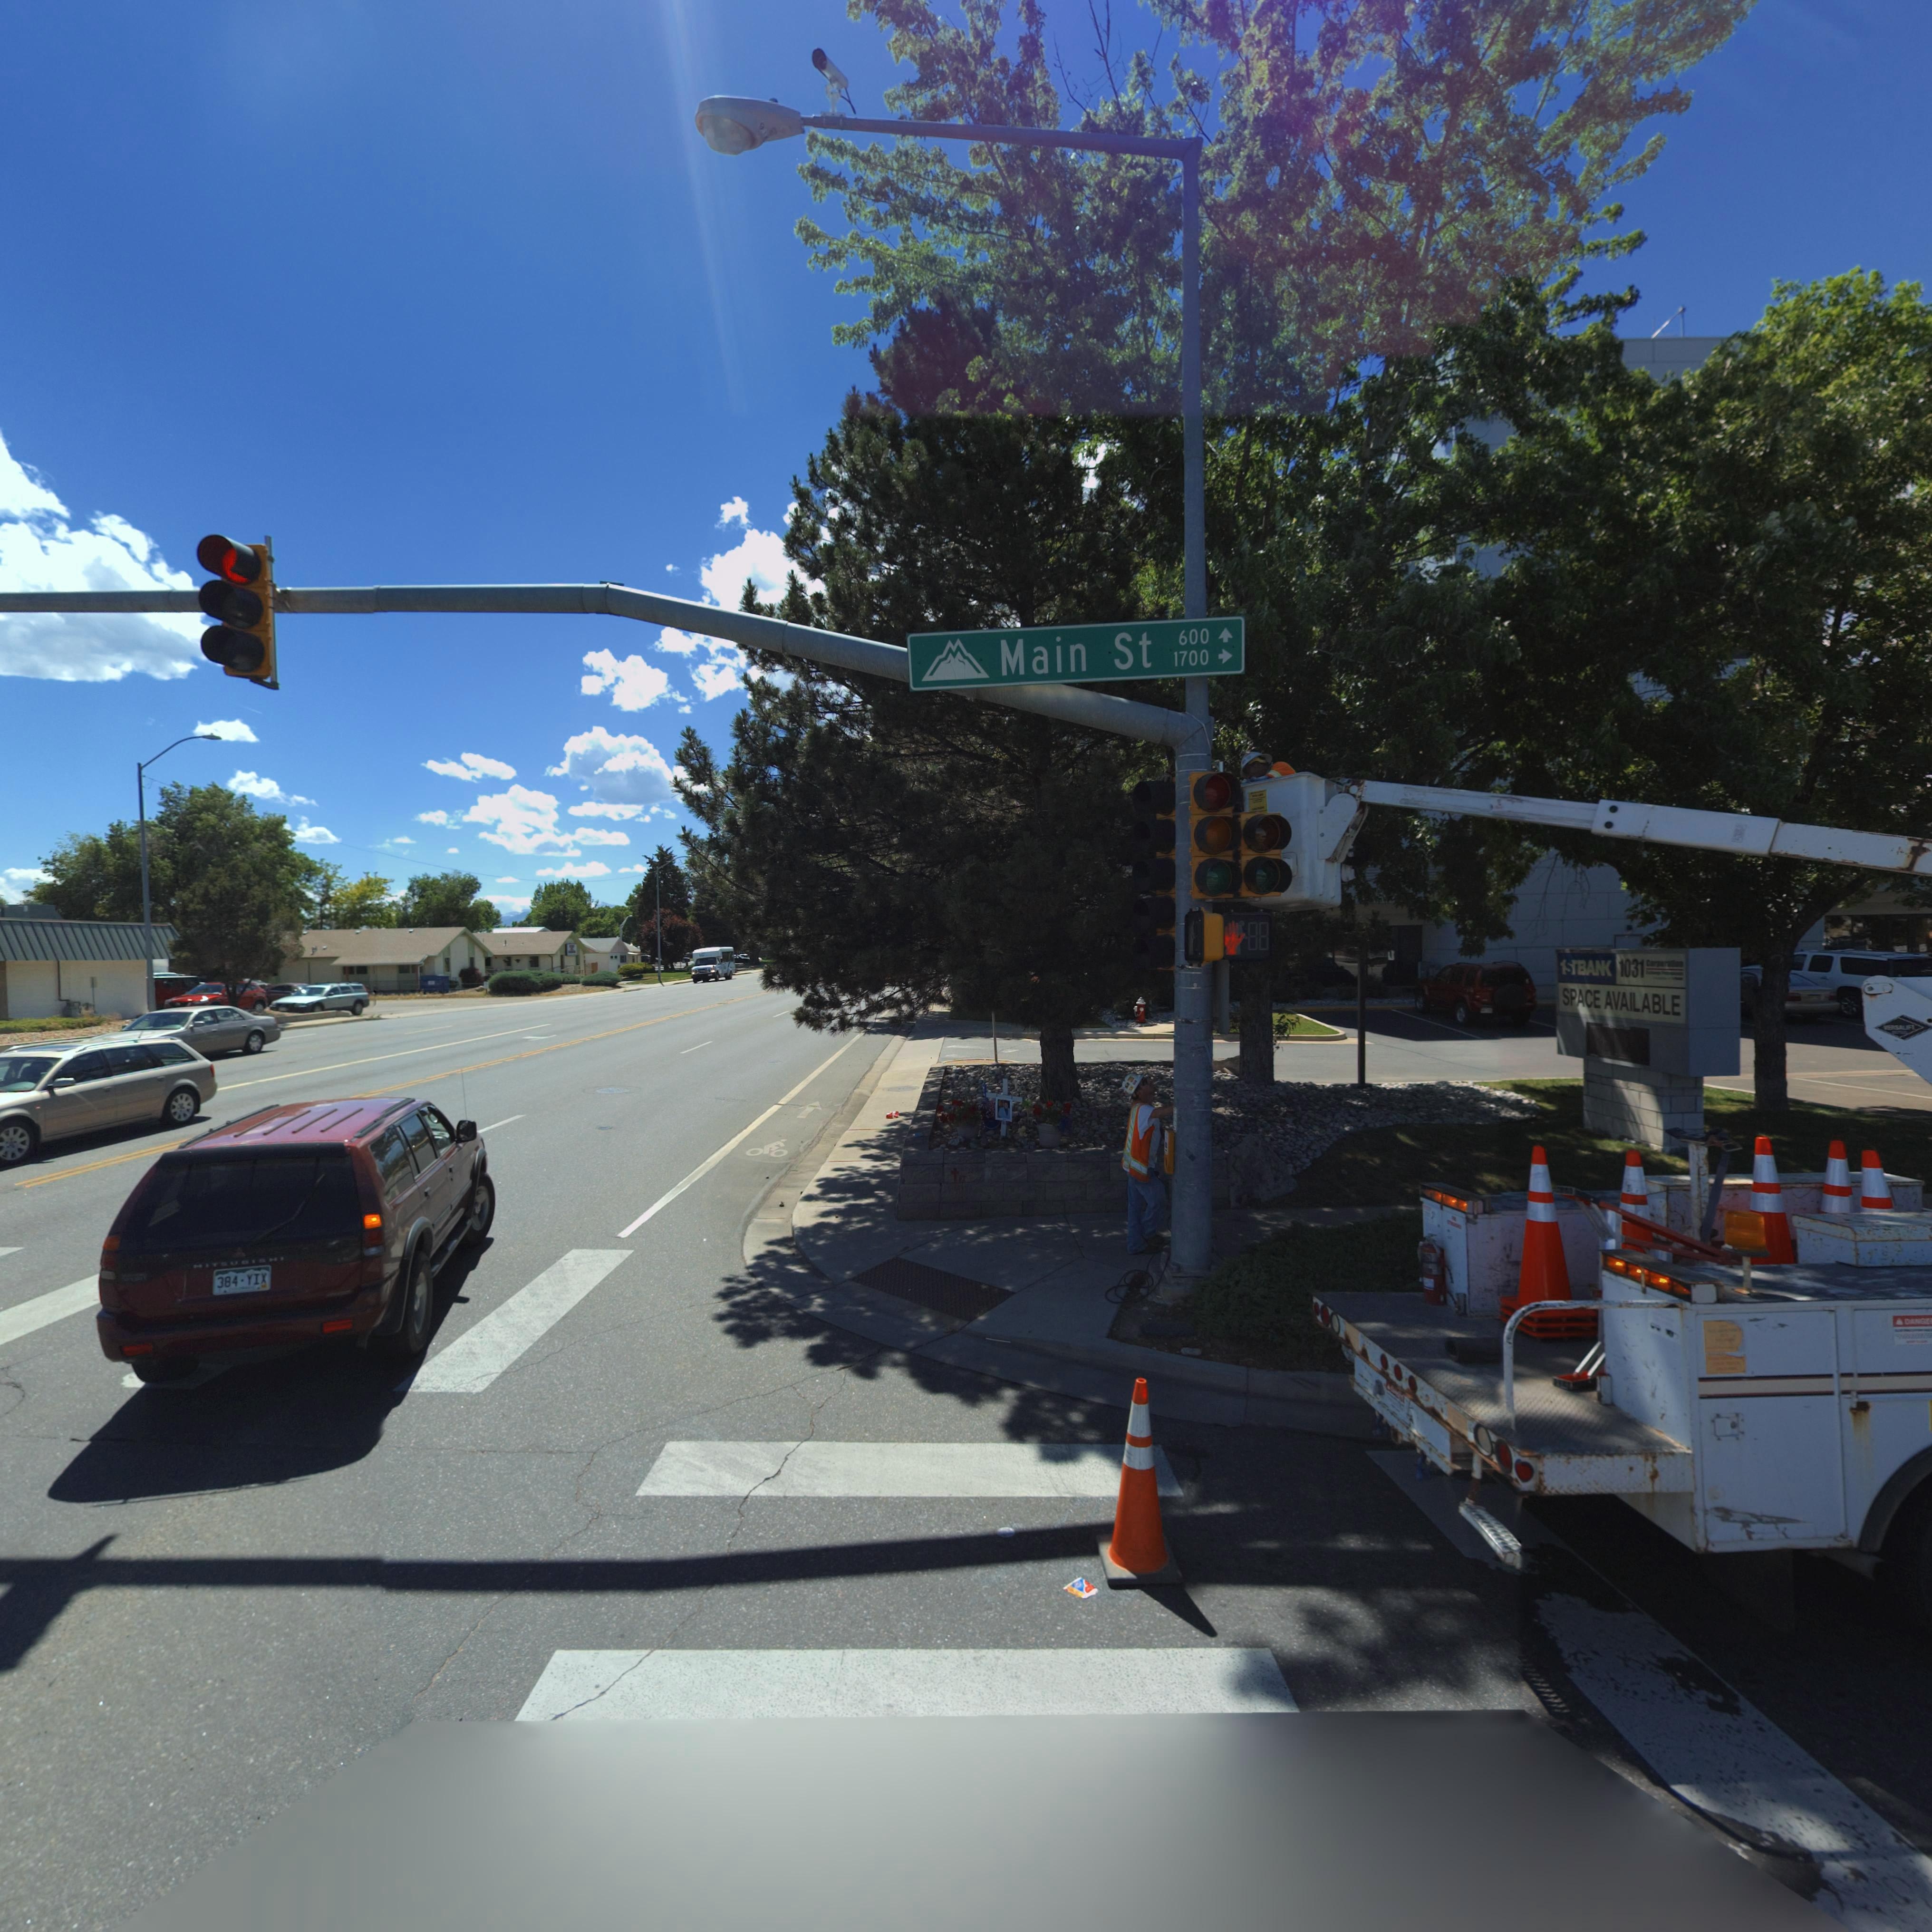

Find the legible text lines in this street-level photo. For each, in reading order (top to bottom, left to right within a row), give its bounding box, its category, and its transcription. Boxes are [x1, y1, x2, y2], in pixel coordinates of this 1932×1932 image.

[1178, 628, 1210, 647] StreetNumberRange: 600
[999, 630, 1154, 676] StreetName: Main St
[1173, 647, 1233, 667] StreetNumberRange: 1700 ->
[1559, 958, 1613, 976] BusinessName: 1STBAN*
[1618, 958, 1645, 978] BusinessName: 1031
[1646, 959, 1683, 967] BusinessName: Corporation